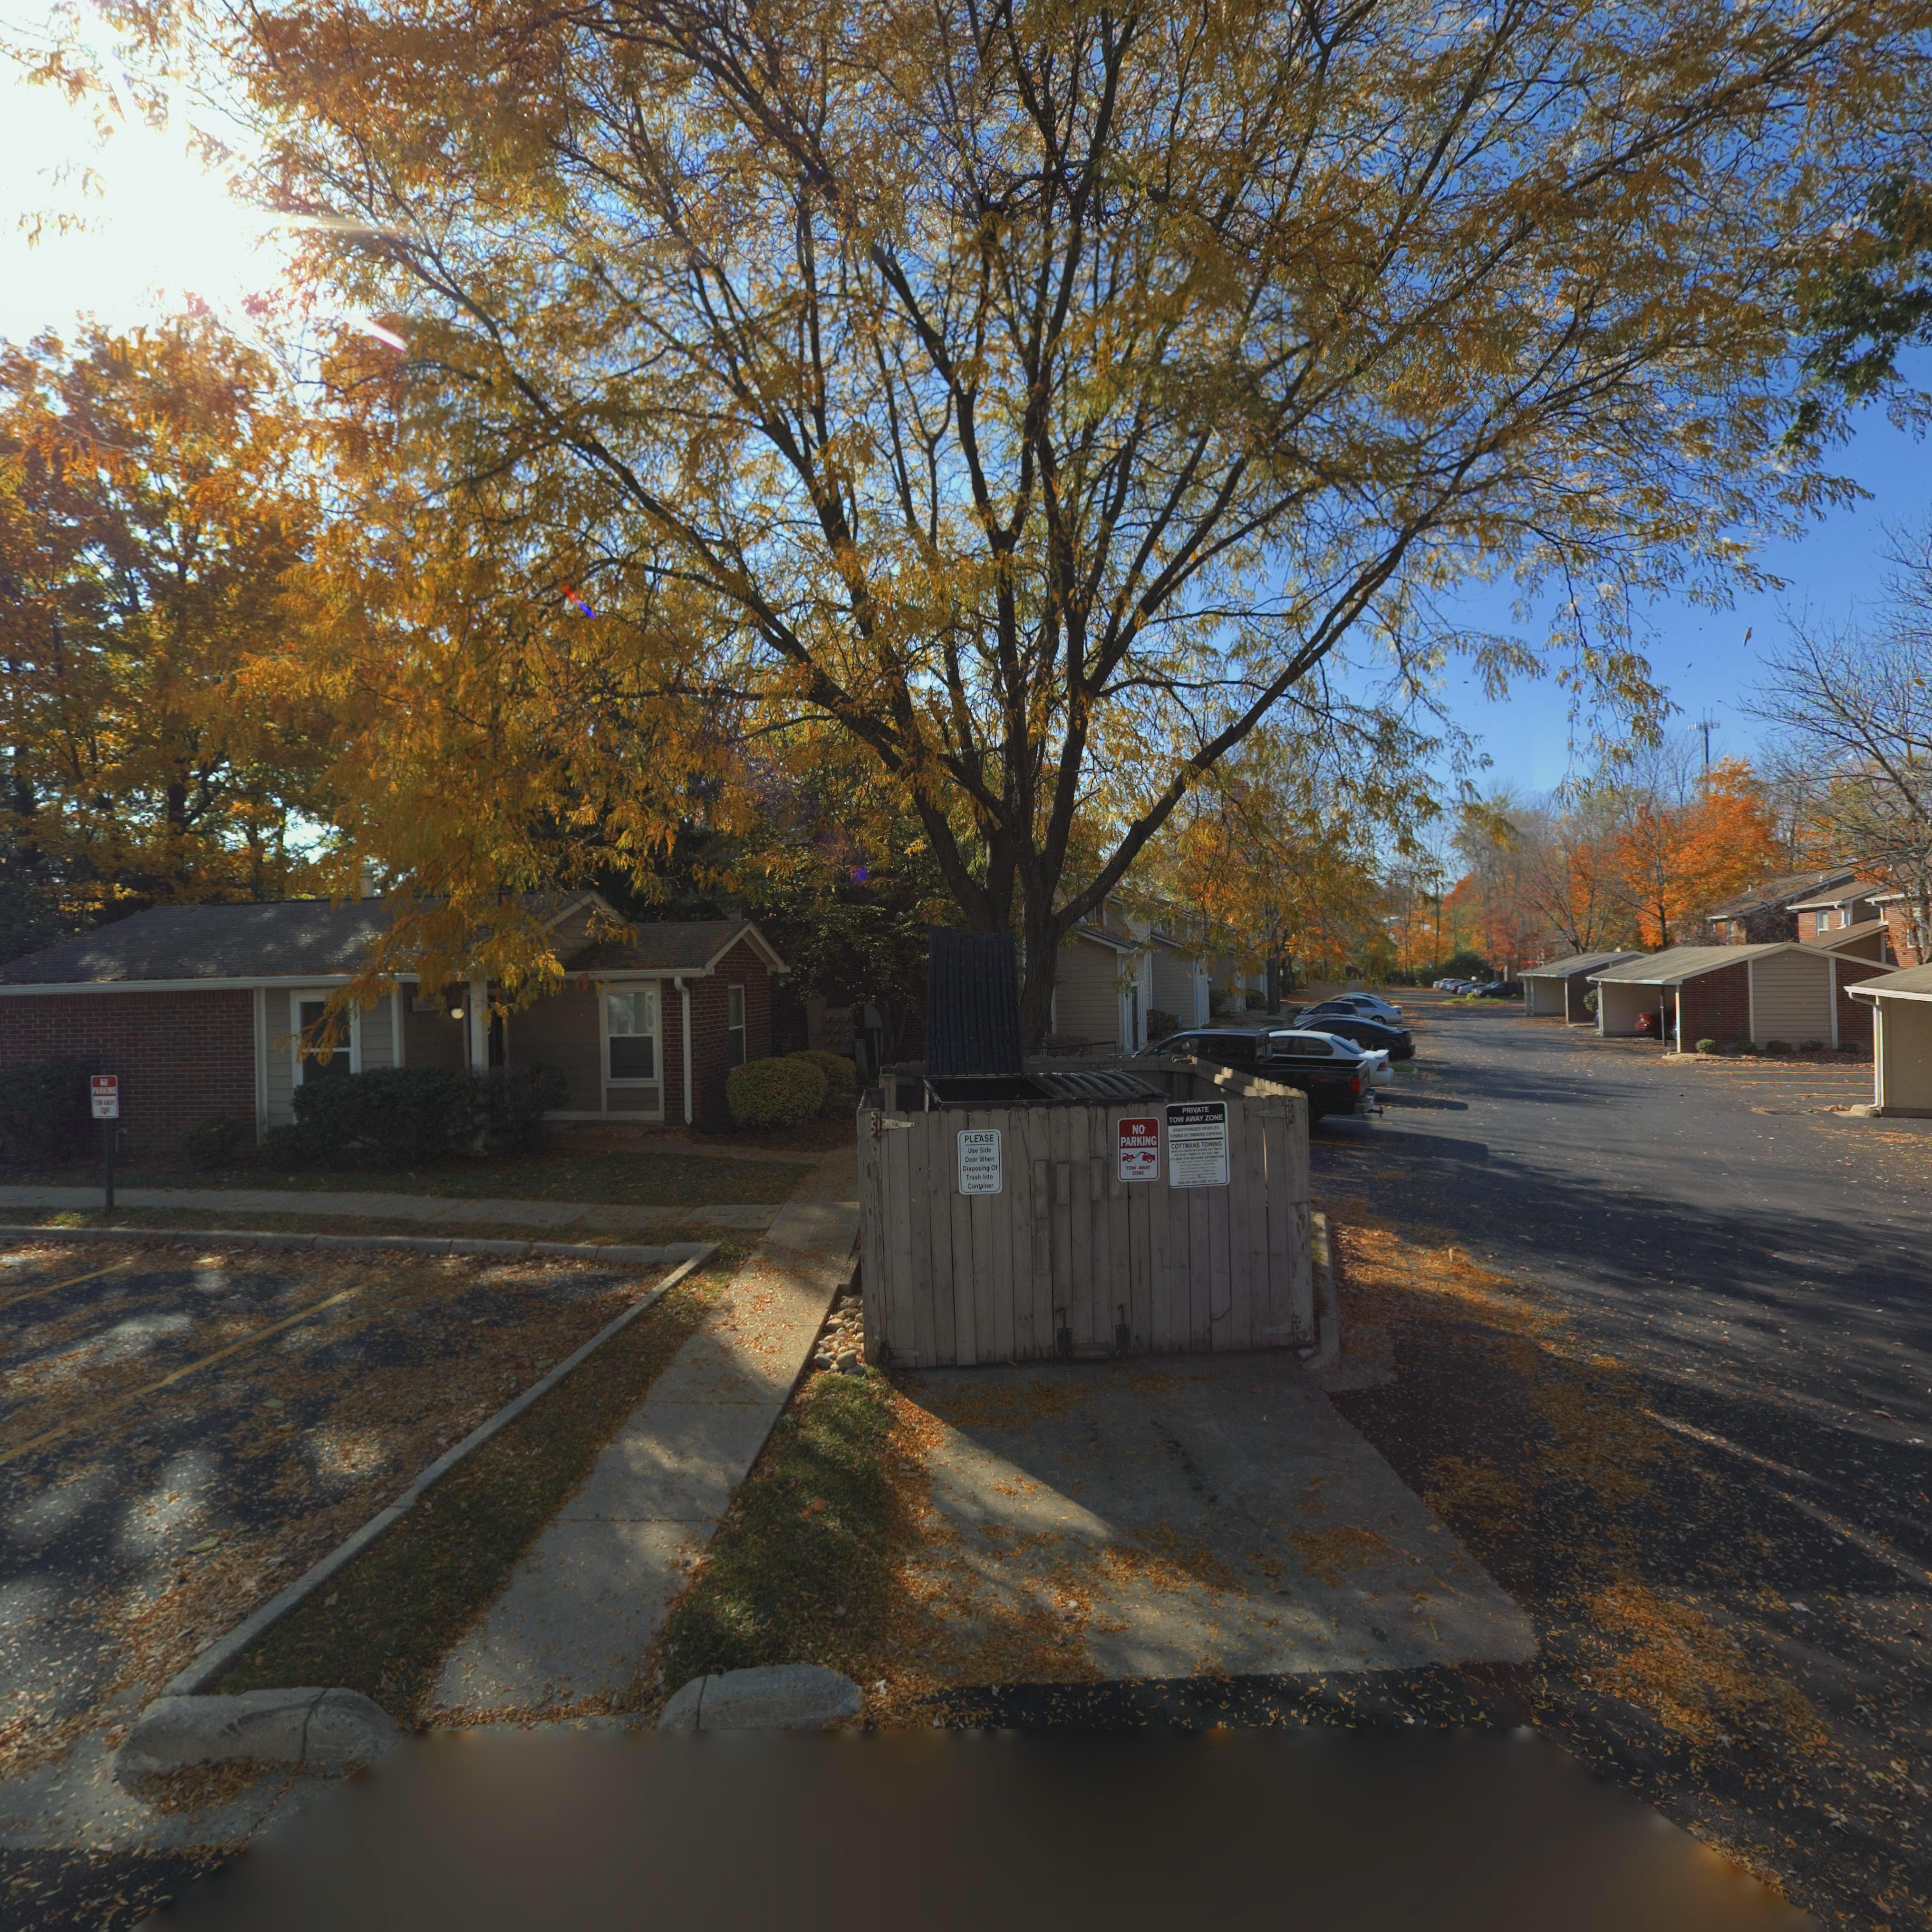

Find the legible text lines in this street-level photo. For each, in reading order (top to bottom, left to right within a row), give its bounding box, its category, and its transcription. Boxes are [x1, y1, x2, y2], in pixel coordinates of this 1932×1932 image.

[1181, 1105, 1210, 1114] None: PRIVATE
[1168, 1113, 1224, 1124] None: TOW AWAY ZONE
[1131, 1123, 1146, 1135] None: NO
[964, 1133, 995, 1143] None: PLEASE
[1120, 1134, 1158, 1147] None: PARKING
[1170, 1140, 1223, 1150] None: COTTMANS TOWING
[967, 1146, 993, 1155] None: Use Side
[964, 1155, 995, 1163] None: Door When
[965, 1173, 995, 1181] None: Trash Into
[962, 1163, 999, 1173] None: Disposing O*
[1124, 1164, 1152, 1171] None: TOW AWAY
[1131, 1169, 1146, 1176] None: ZONE
[967, 1182, 995, 1191] None: Con**iner